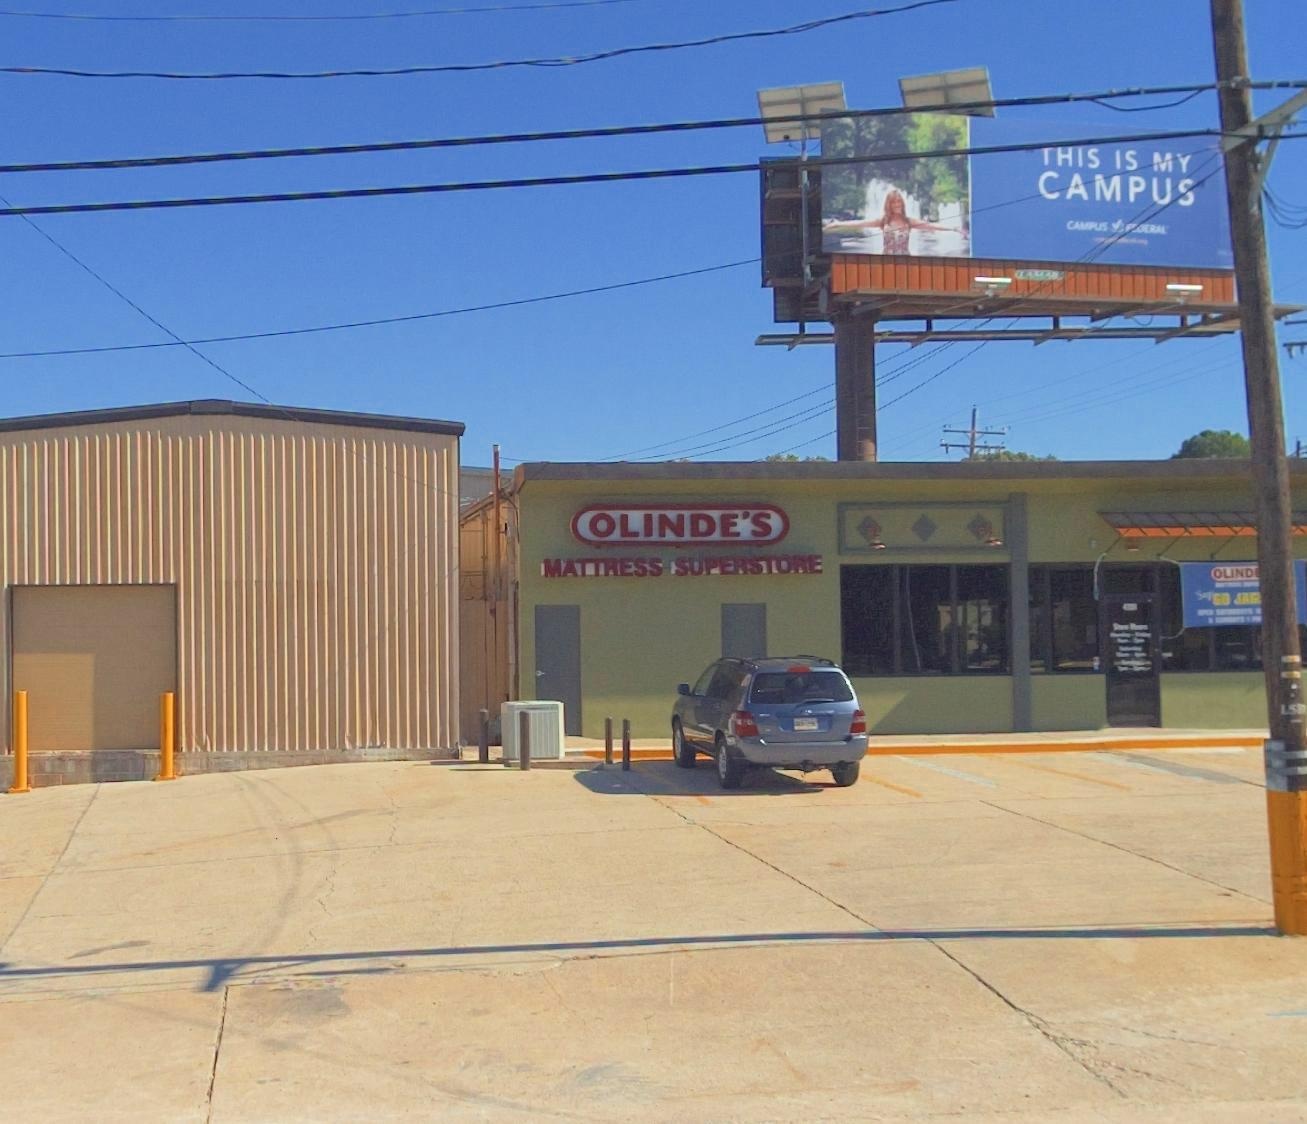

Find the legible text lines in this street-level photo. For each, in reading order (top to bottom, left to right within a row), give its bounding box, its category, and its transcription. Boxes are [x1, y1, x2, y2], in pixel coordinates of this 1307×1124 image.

[1039, 146, 1193, 175] None: *HIS IS MY
[1037, 170, 1196, 207] None: CAMPUS
[1065, 218, 1169, 237] None: CAMPUS * ***ERAL
[1017, 270, 1062, 280] None: LAMAR
[587, 511, 773, 539] BusinessName: OLINDE'S
[542, 553, 824, 579] None: MATTRESS SUPERSTORE
[1212, 567, 1255, 579] BusinessName: OLIND
[1211, 591, 1260, 606] None: GO JAG
[1280, 702, 1307, 718] None: LS*